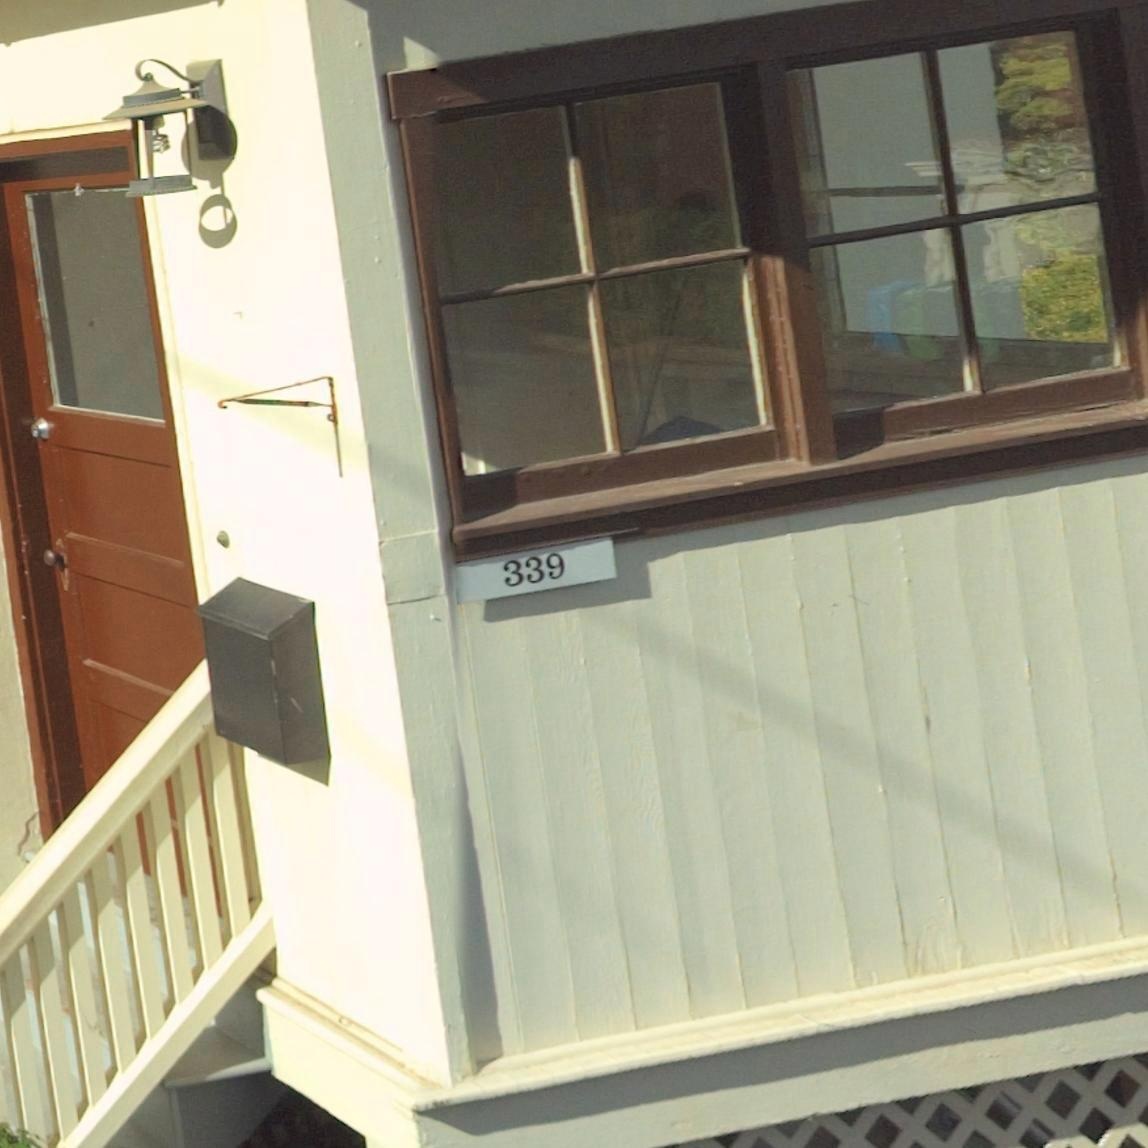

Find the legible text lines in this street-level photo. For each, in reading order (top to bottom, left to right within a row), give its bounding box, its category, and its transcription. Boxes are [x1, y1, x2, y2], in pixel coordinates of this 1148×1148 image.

[502, 549, 567, 590] StreetNumber: 339